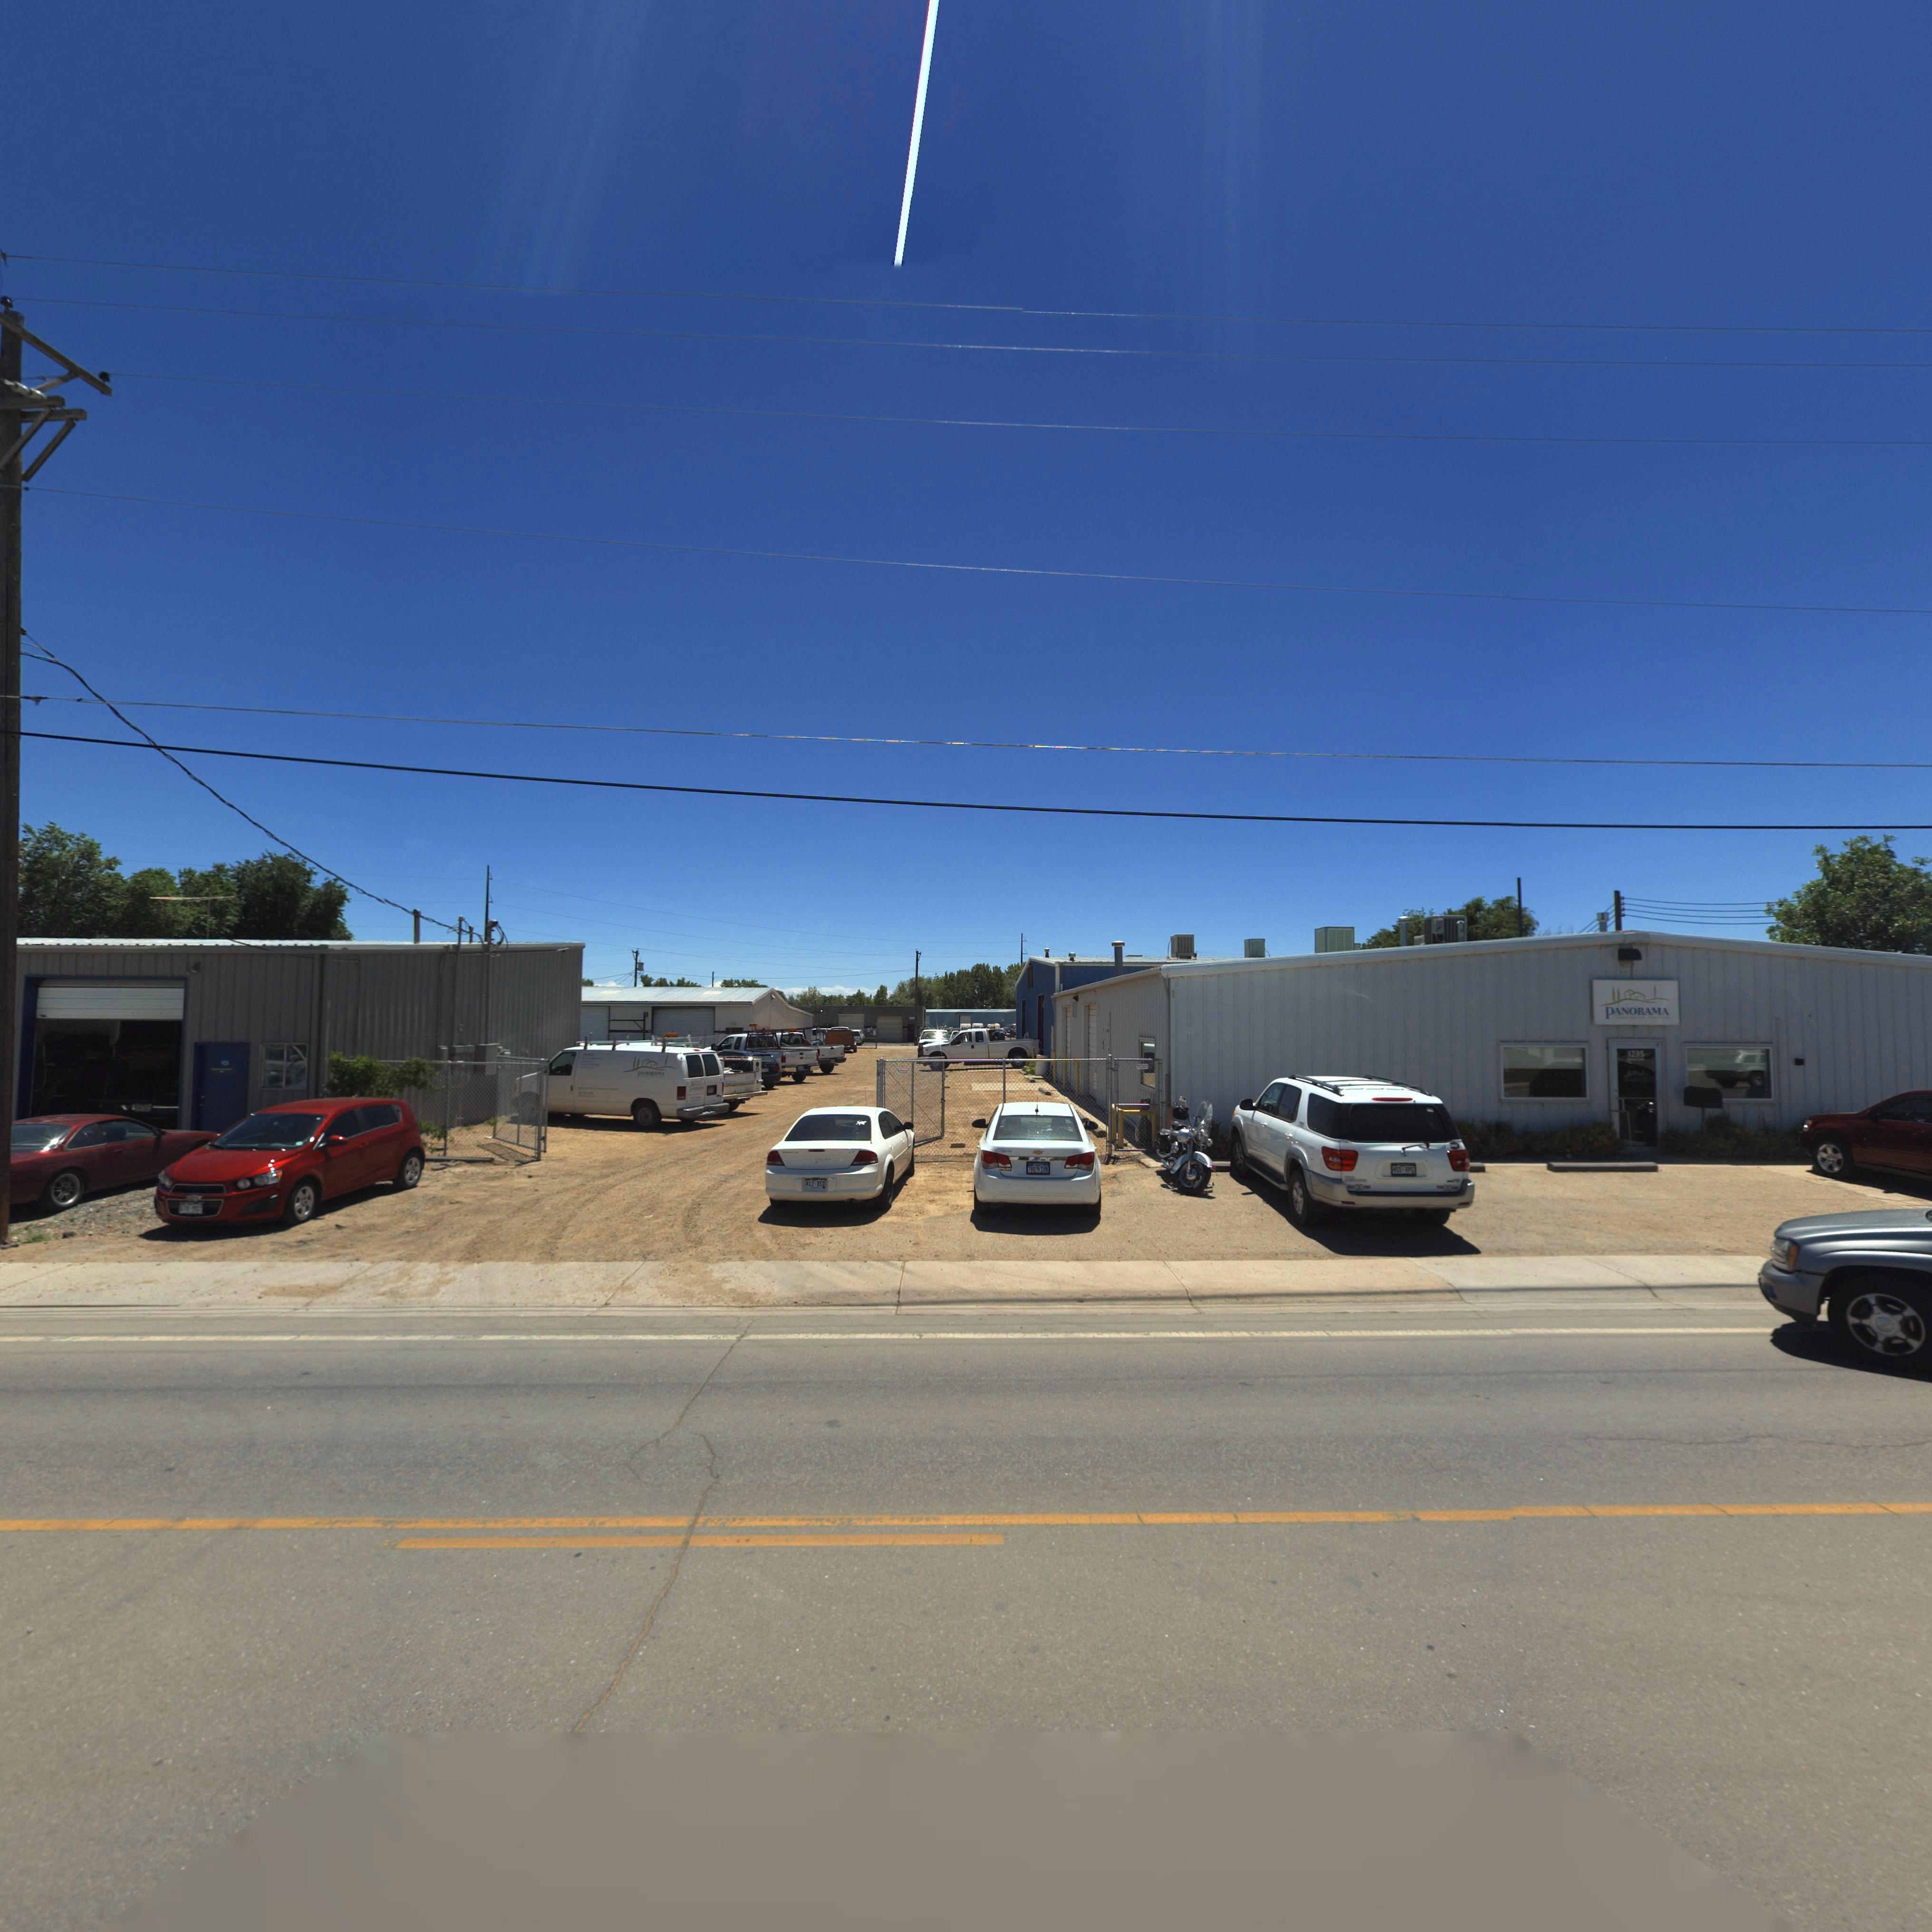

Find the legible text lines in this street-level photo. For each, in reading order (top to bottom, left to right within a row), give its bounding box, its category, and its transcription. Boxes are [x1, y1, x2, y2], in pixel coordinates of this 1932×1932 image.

[1605, 1006, 1669, 1019] BusinessName: PANORAMA
[1613, 1014, 1669, 1020] BusinessName: CO*******ED S****C**
[1627, 1050, 1645, 1057] StreetNumber: 1235
[1627, 1057, 1645, 1061] StreetName: BO***N